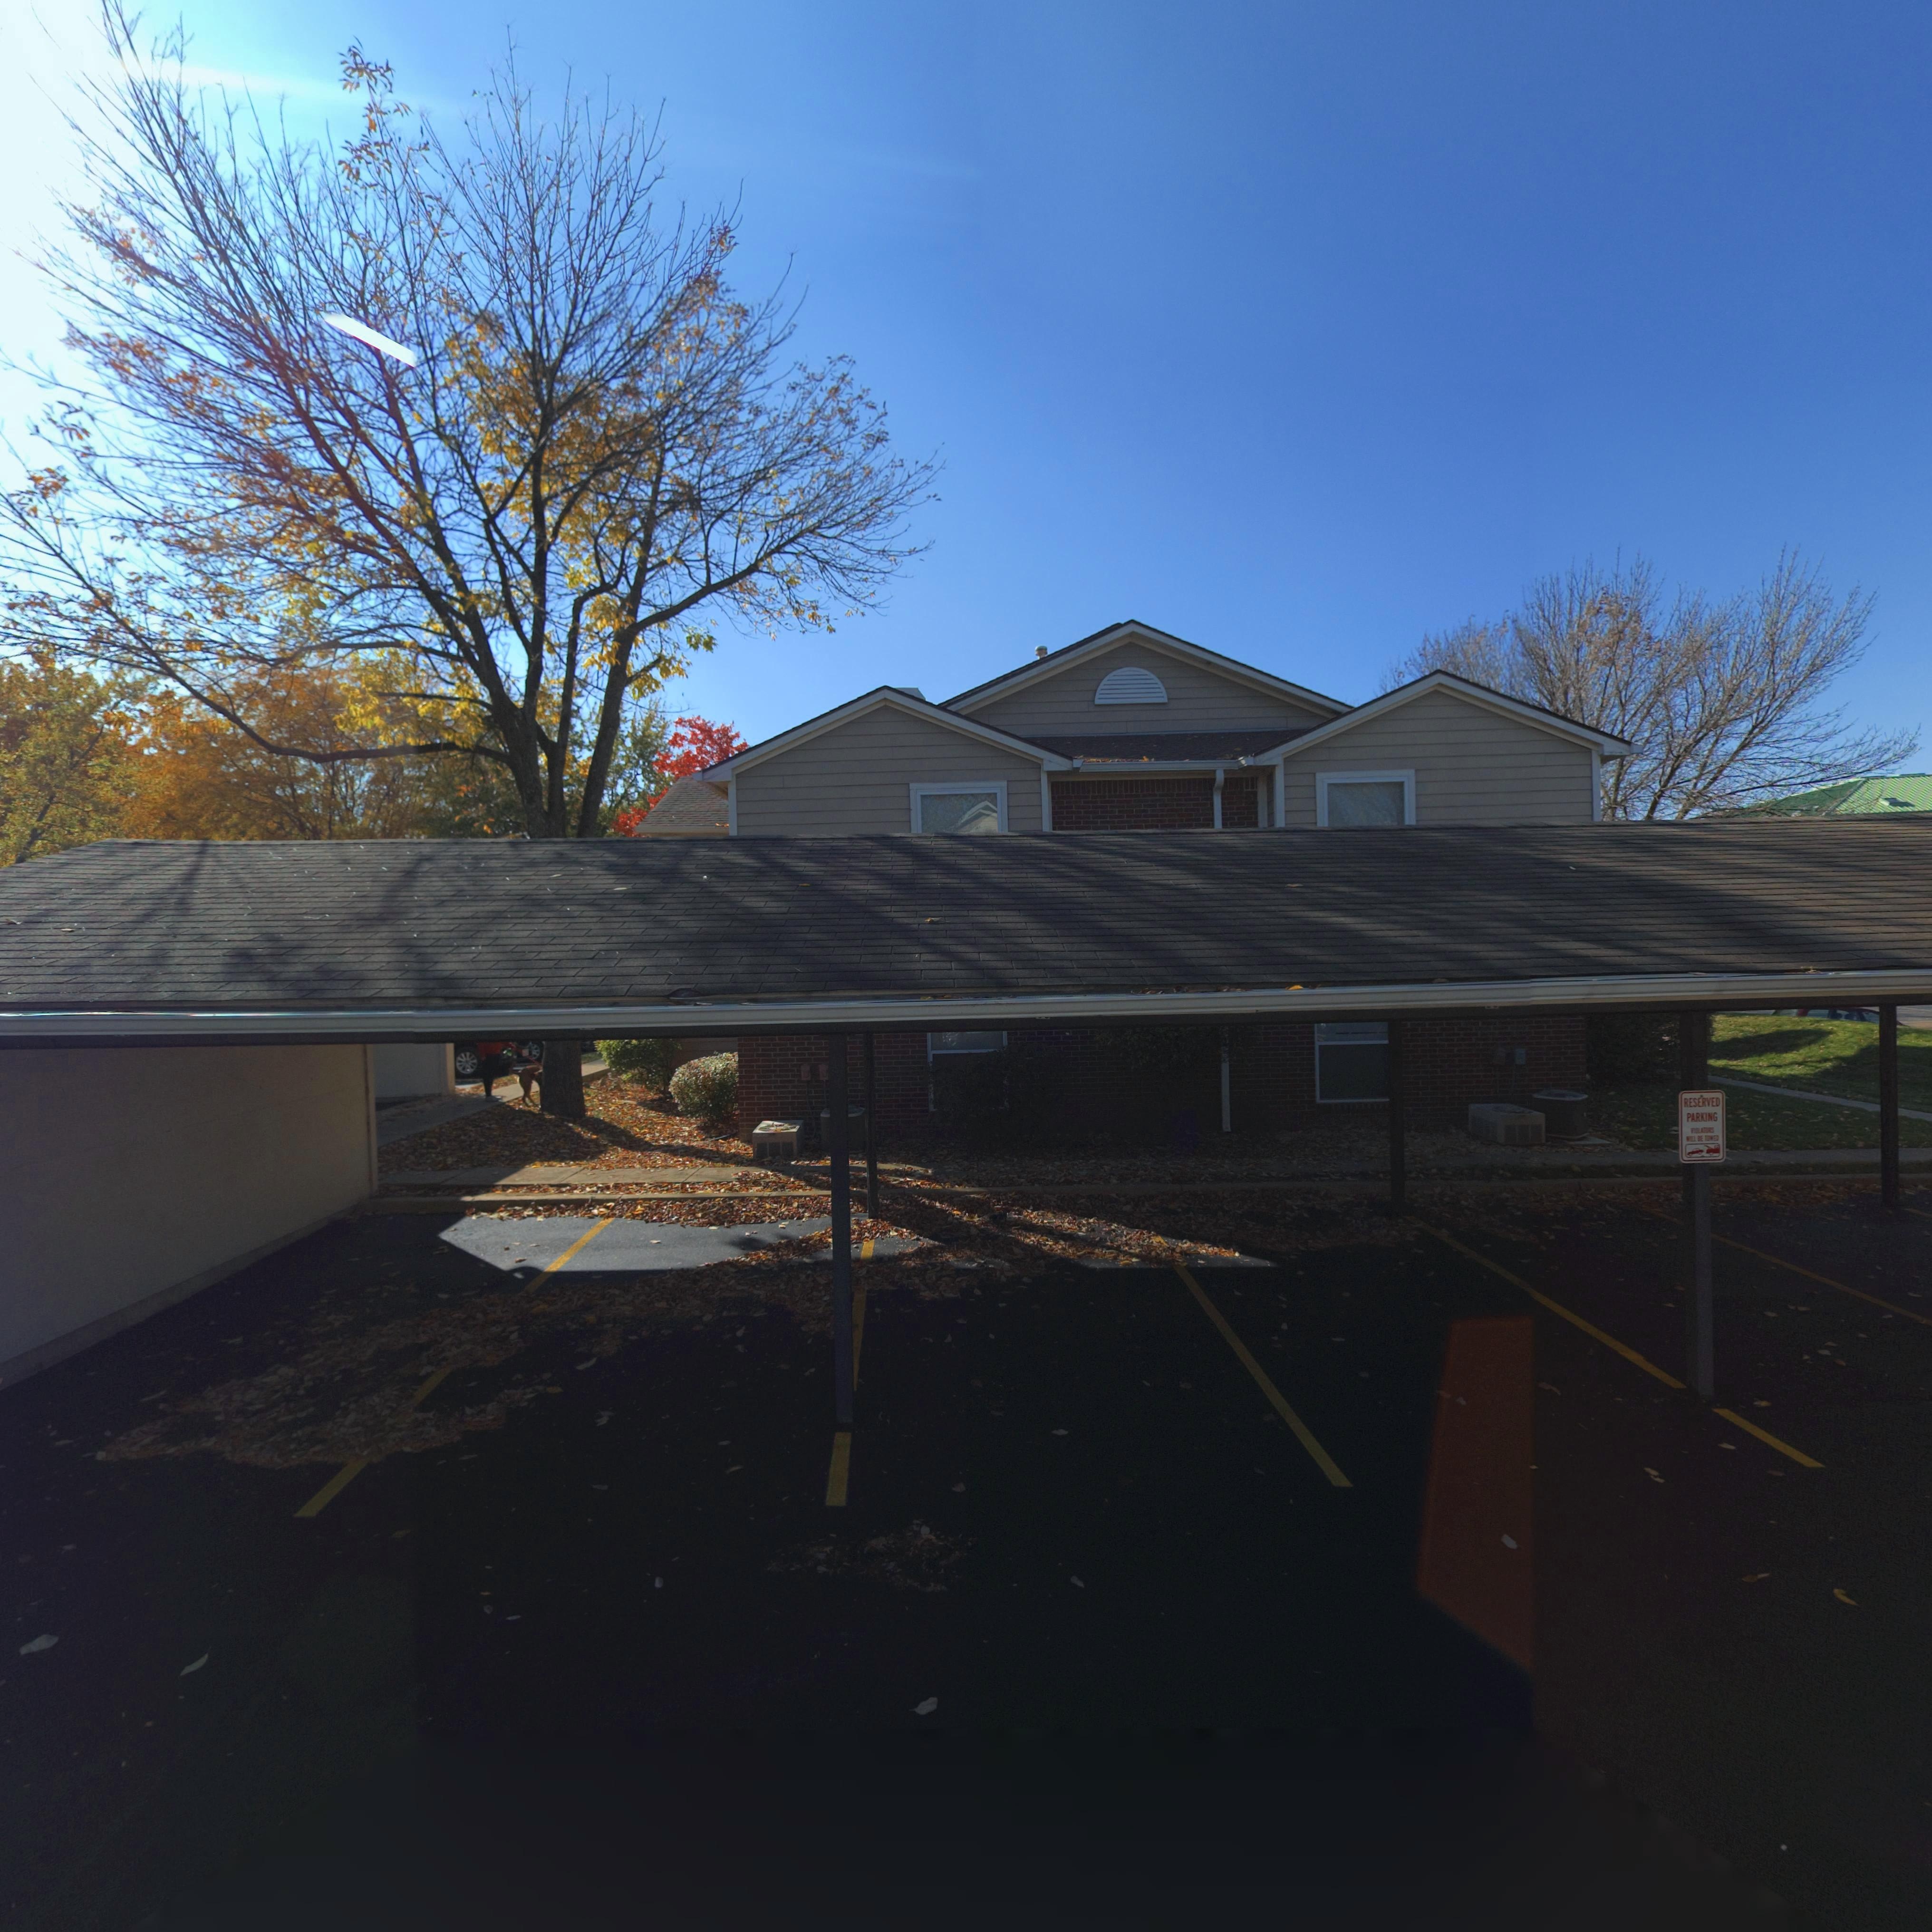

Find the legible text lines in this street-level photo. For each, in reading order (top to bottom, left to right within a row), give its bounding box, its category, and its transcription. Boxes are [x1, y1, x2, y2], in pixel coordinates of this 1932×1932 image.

[1683, 1096, 1721, 1108] None: RESERVED
[1686, 1111, 1719, 1123] None: PARKING